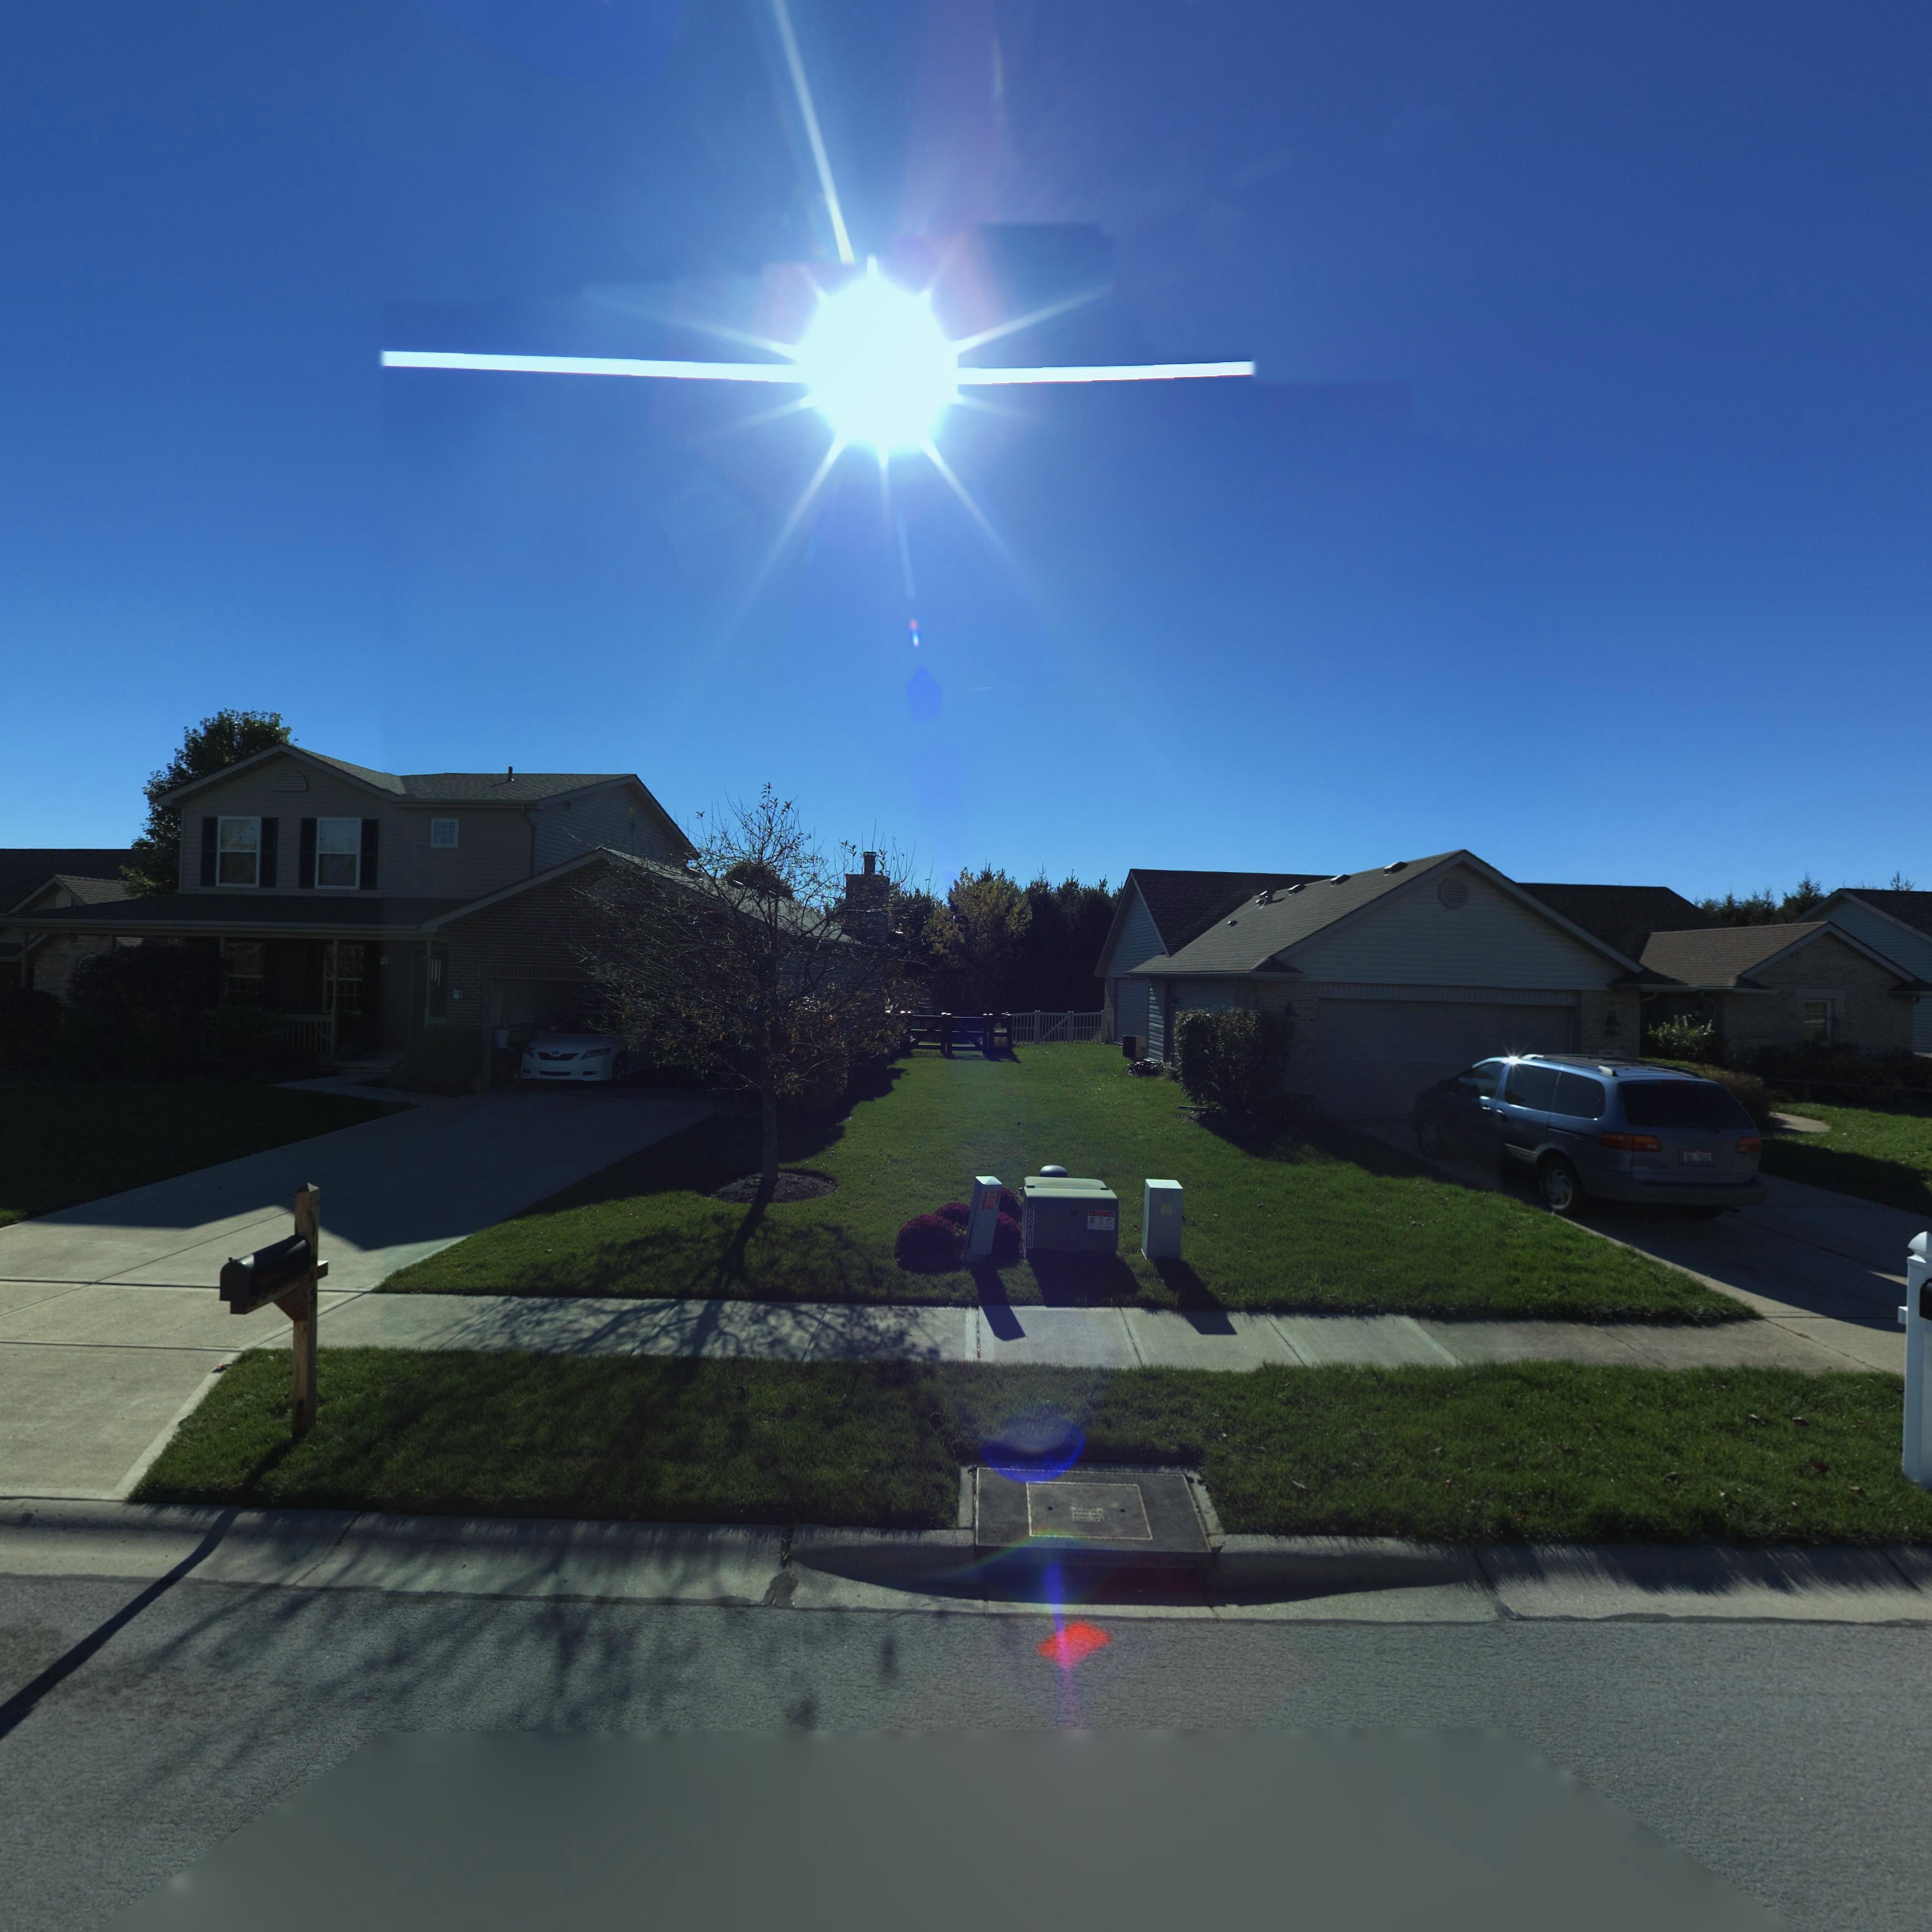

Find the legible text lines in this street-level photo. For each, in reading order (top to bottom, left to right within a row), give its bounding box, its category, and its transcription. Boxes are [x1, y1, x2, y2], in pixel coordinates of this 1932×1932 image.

[308, 1219, 320, 1306] StreetNumber: 143